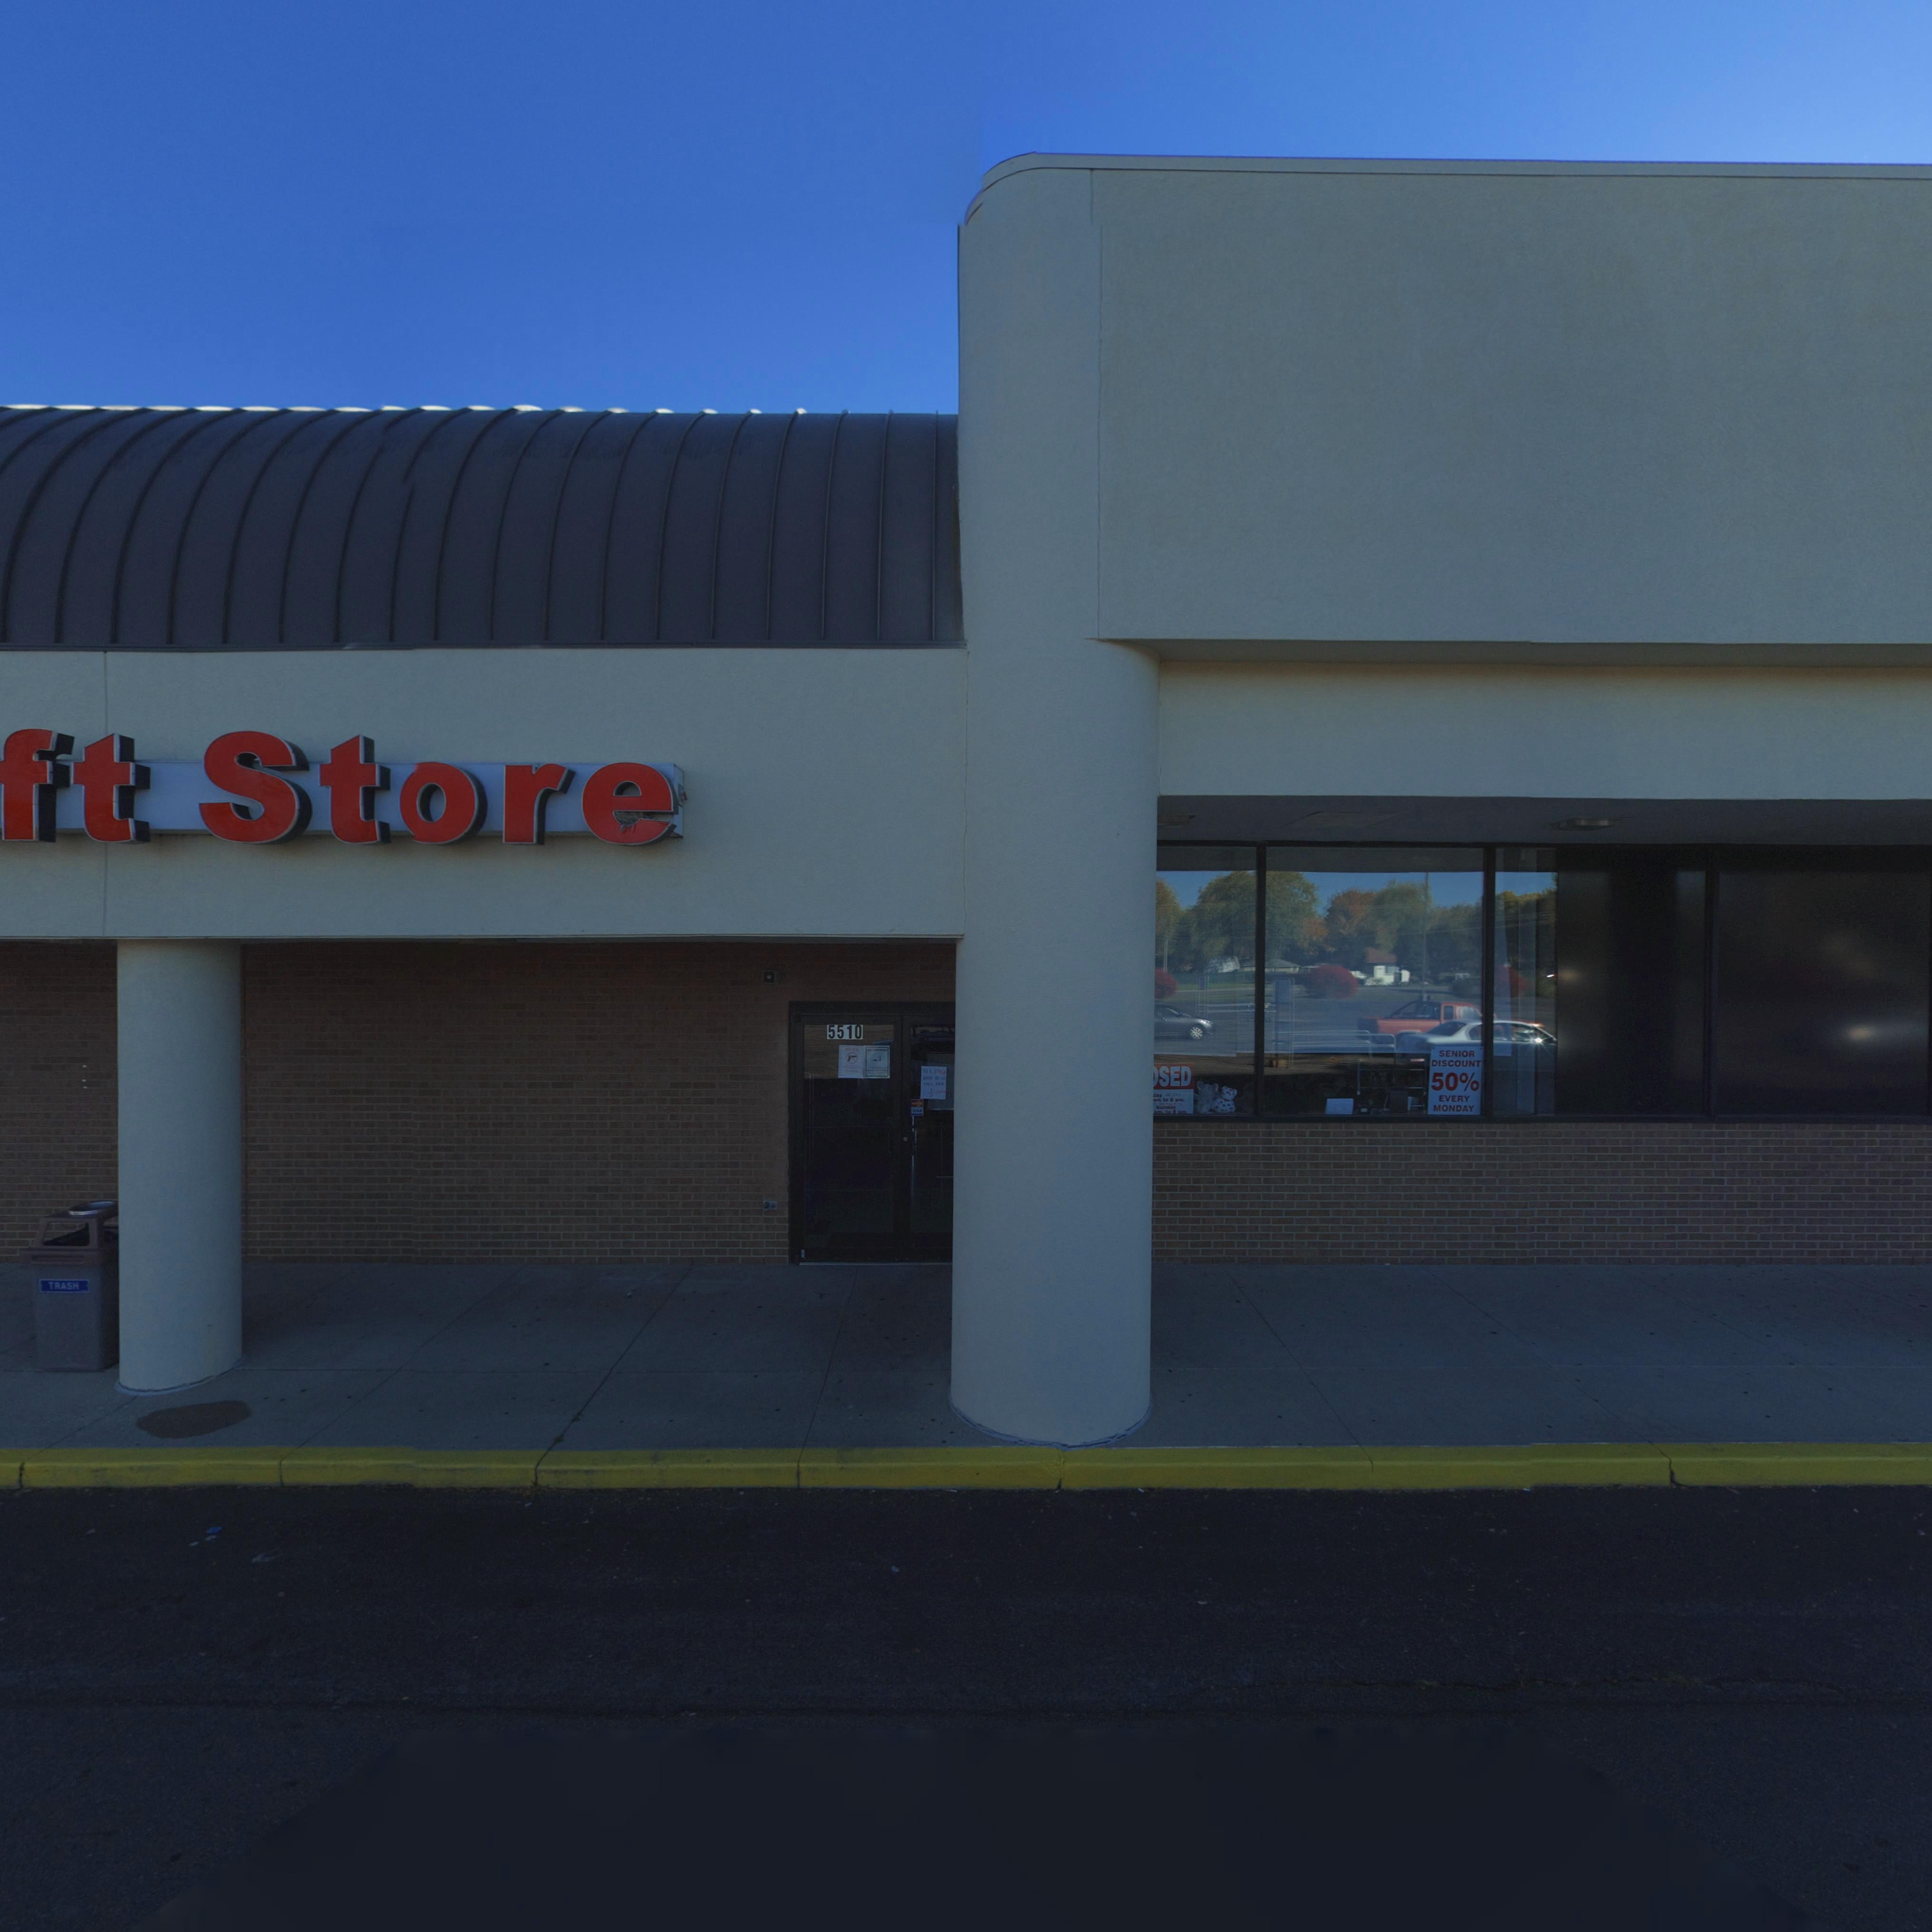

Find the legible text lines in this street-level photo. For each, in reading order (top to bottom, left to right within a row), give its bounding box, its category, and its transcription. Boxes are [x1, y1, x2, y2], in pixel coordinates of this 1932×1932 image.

[827, 1024, 863, 1040] StreetNumber: 5510